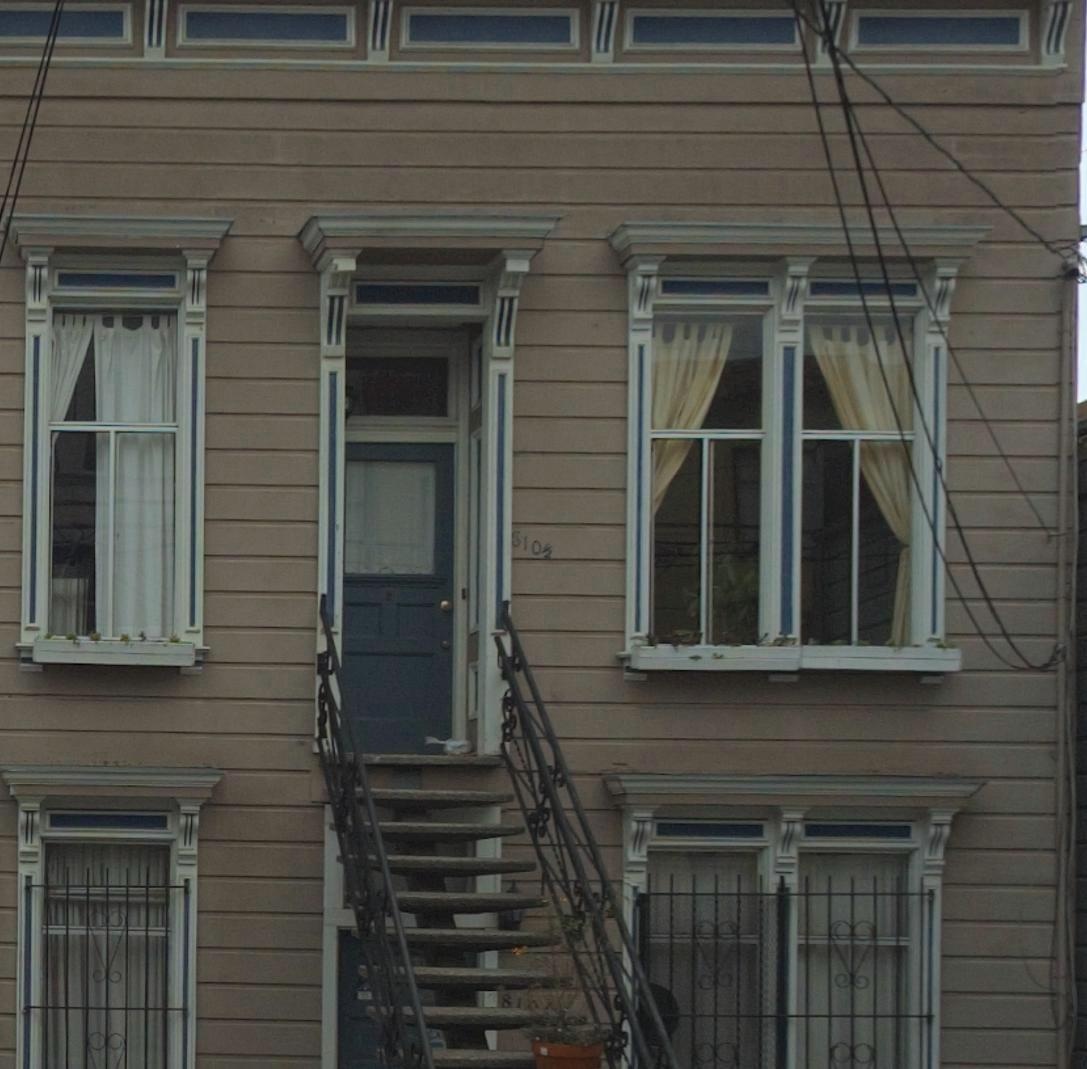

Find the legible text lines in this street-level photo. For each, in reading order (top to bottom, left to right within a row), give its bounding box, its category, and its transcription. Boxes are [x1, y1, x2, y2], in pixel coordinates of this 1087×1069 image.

[510, 527, 556, 563] StreetNumber: 810 1/2
[499, 992, 540, 1017] StreetNumber: 8**